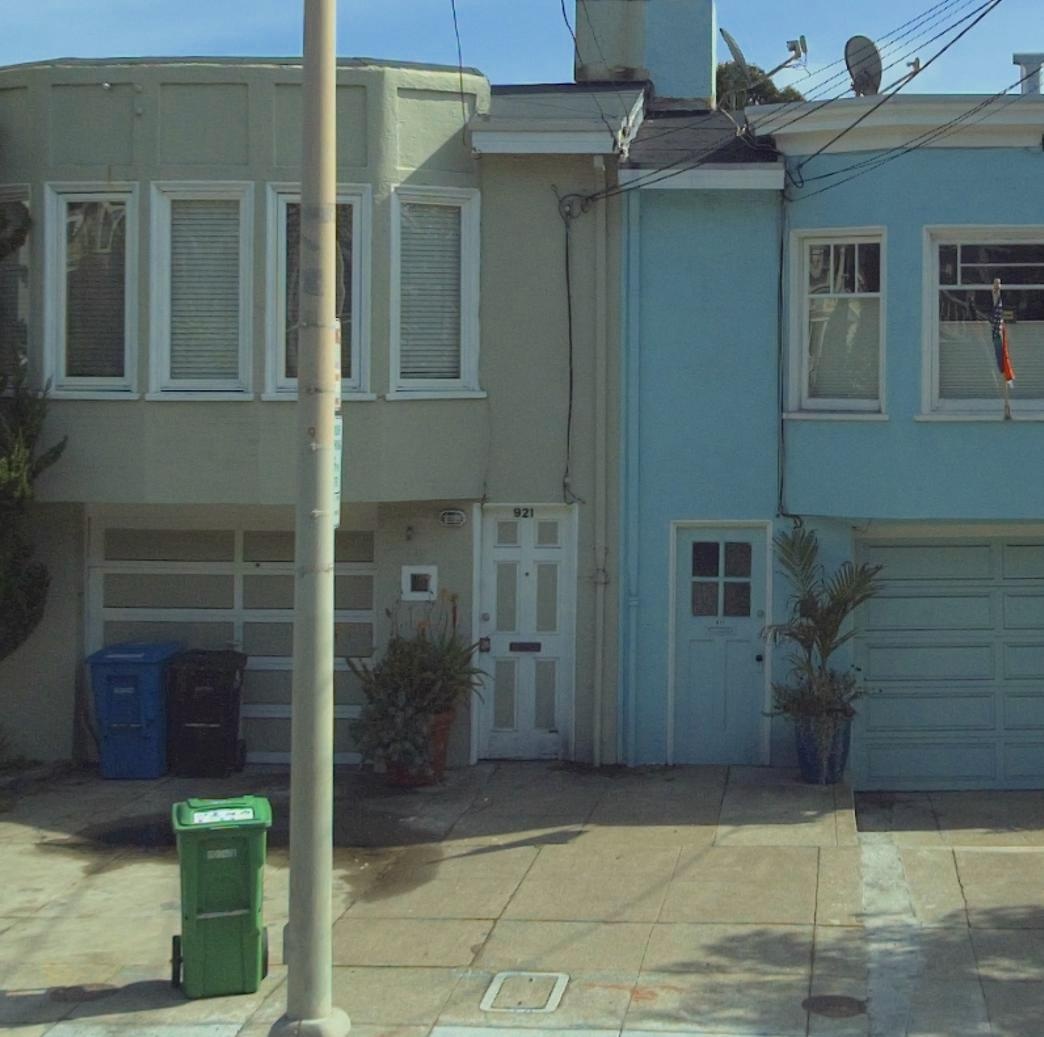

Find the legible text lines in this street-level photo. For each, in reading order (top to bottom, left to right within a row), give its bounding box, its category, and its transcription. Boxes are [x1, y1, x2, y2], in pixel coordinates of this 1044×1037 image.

[512, 505, 536, 519] StreetNumber: 921